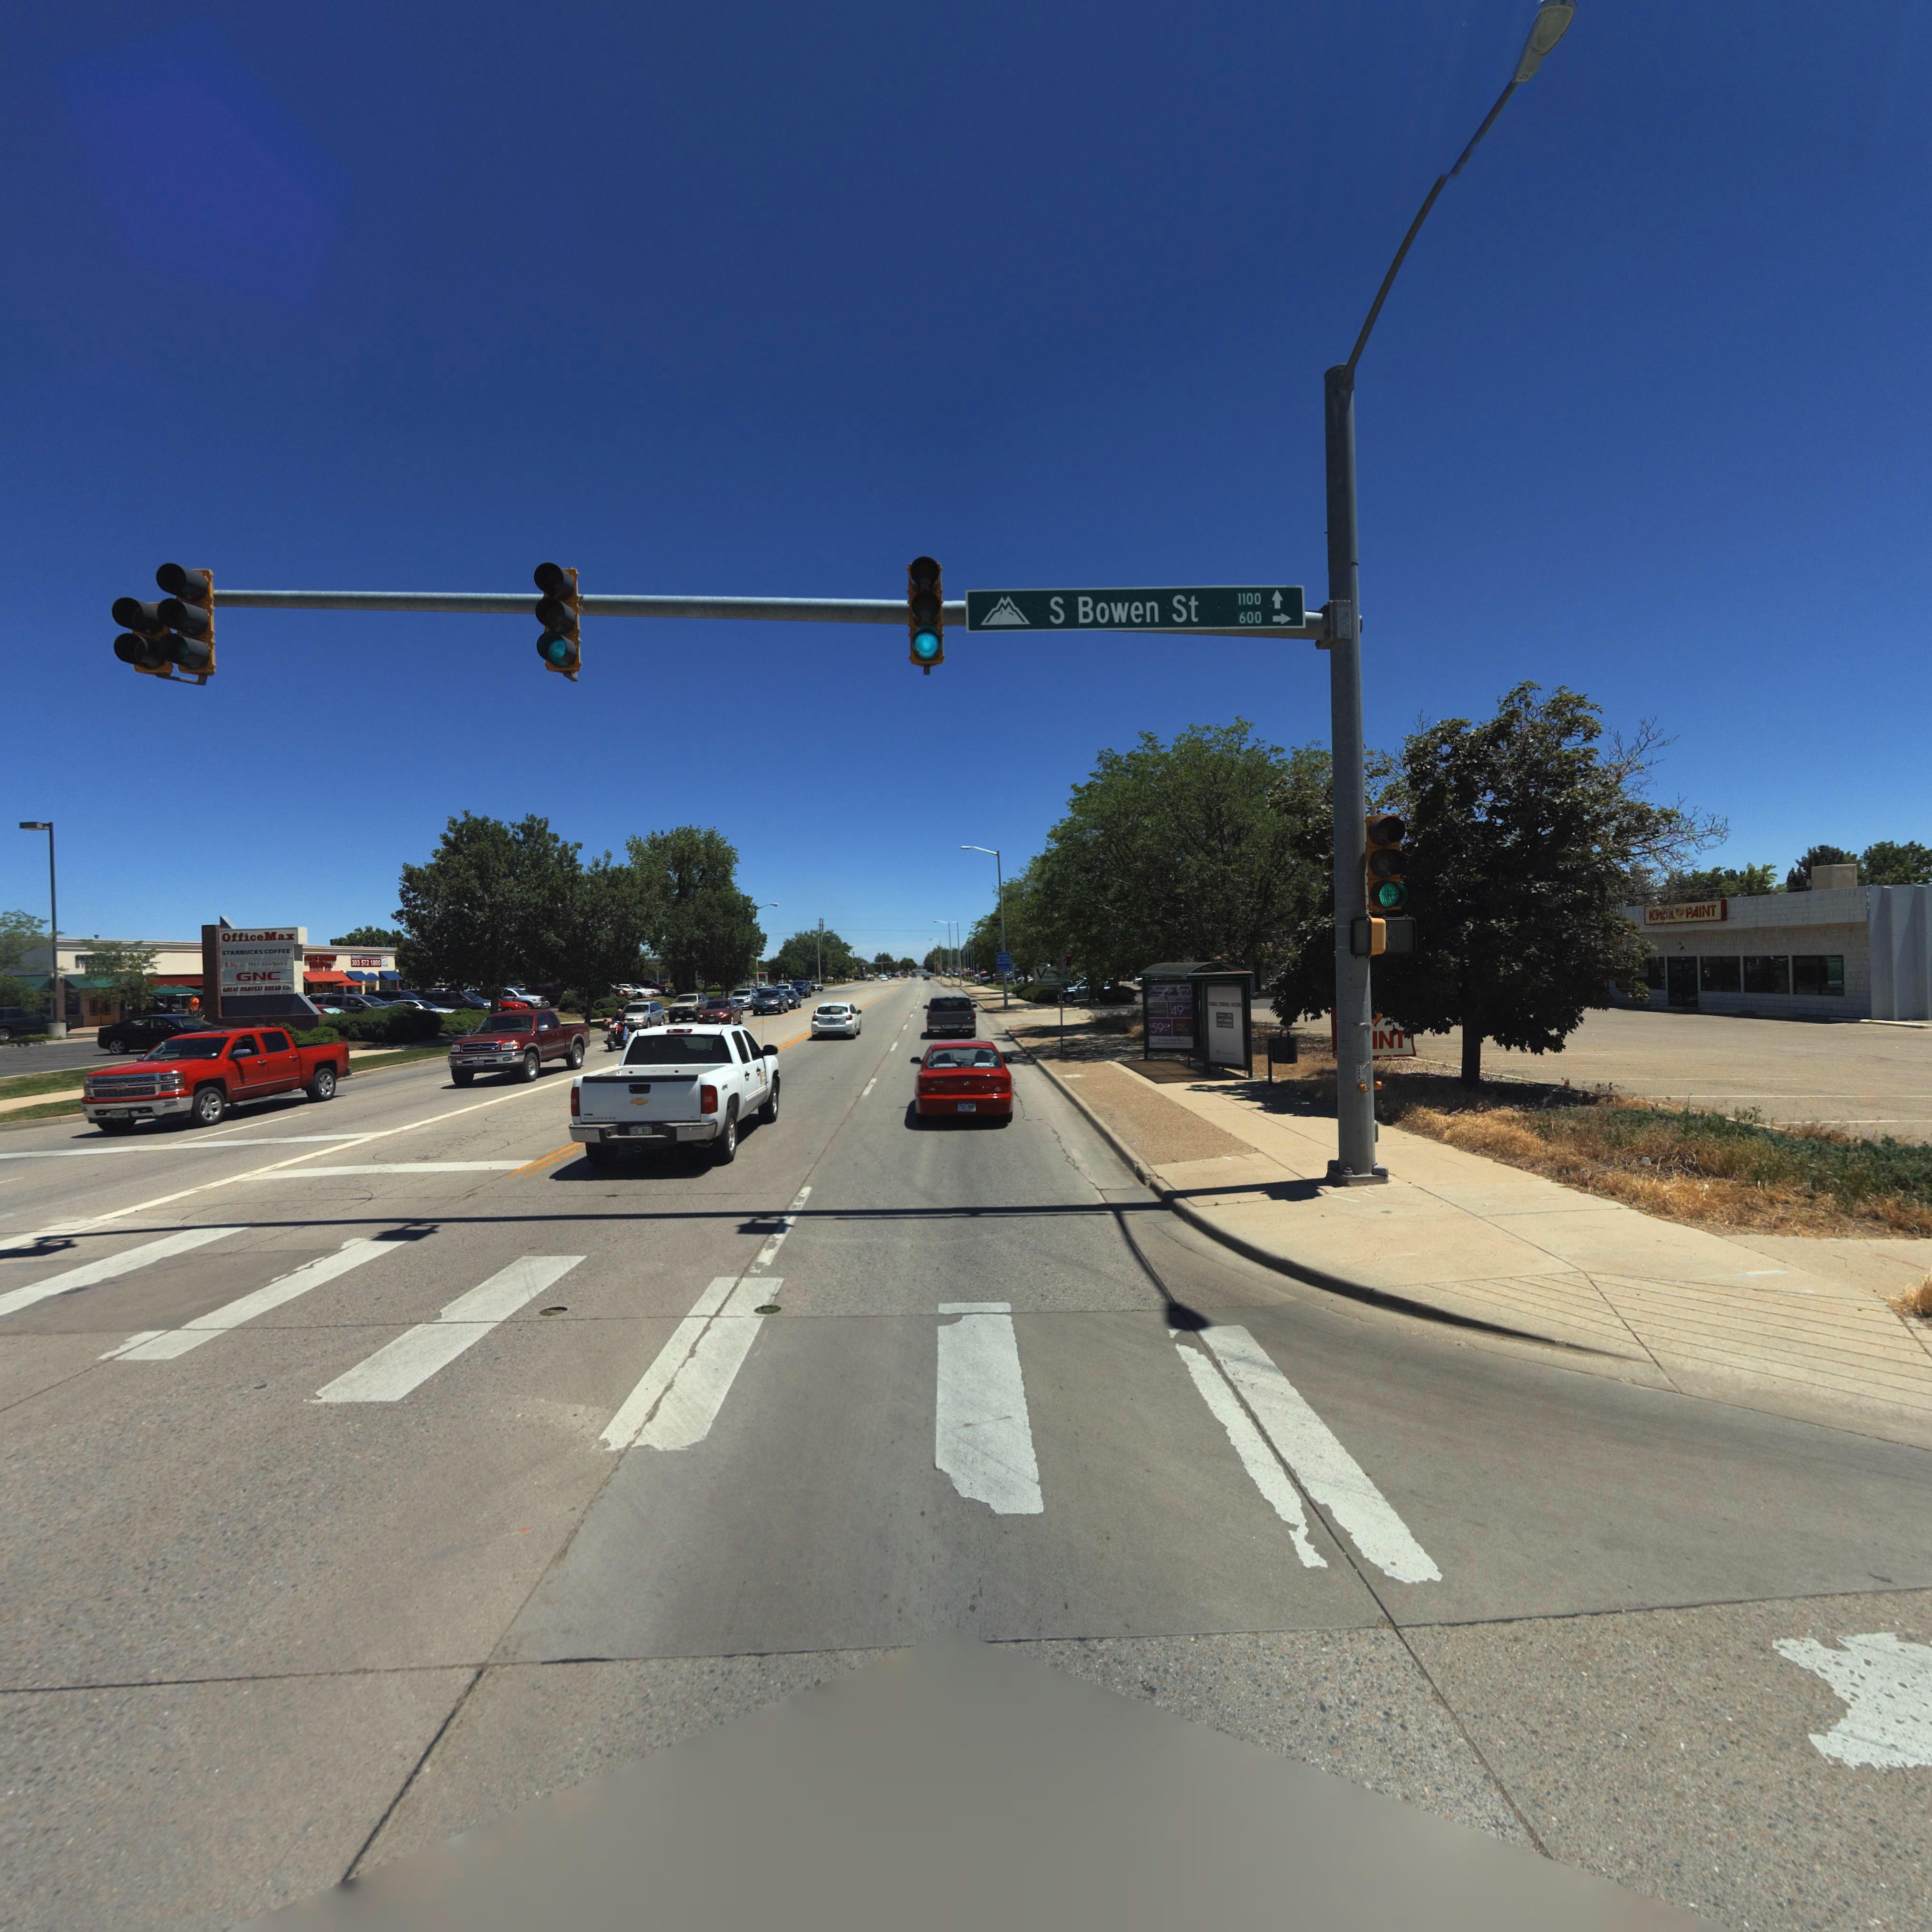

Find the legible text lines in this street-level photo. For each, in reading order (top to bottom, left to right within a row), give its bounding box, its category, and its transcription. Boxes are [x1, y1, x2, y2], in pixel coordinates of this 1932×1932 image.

[1237, 592, 1262, 606] StreetNumber: 1100
[1048, 593, 1199, 625] StreetName: S Bowen St
[1238, 611, 1293, 625] StreetNumberRange: 600->
[1648, 904, 1717, 921] StreetNumber: **** PAINT
[222, 931, 295, 943] BusinessName: OfficeMax
[222, 948, 290, 956] BusinessName: STARBUCKS COFFEE
[224, 959, 289, 972] BusinessName: C******* M****** G****
[235, 971, 281, 982] BusinessName: GNC
[1034, 968, 1048, 980] BusinessName: V
[1037, 979, 1057, 984] BusinessName: Ho******
[1043, 974, 1055, 979] BusinessName: eteri
[1371, 1030, 1407, 1050] BusinessName: IN*